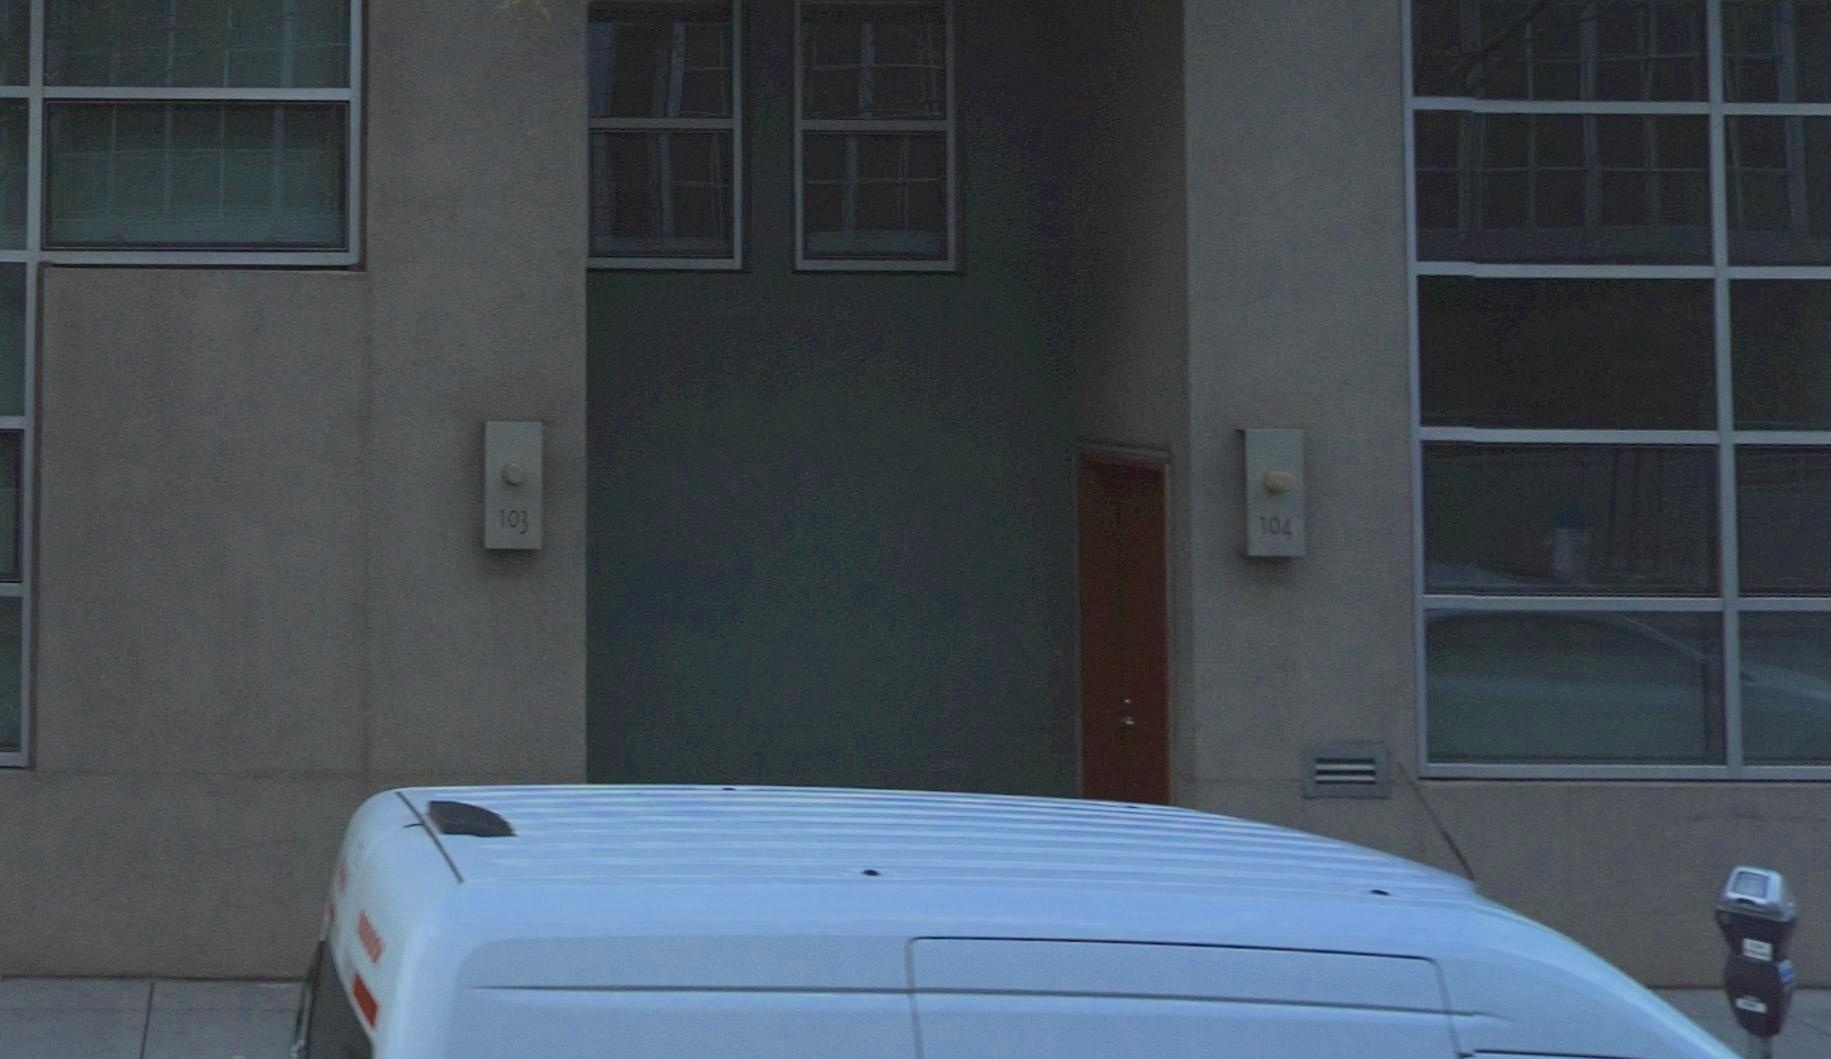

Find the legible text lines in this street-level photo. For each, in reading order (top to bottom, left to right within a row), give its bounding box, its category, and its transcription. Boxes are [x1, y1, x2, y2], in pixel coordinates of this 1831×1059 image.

[497, 507, 531, 538] StreetNumber: 103
[1256, 512, 1296, 543] StreetNumber: 104